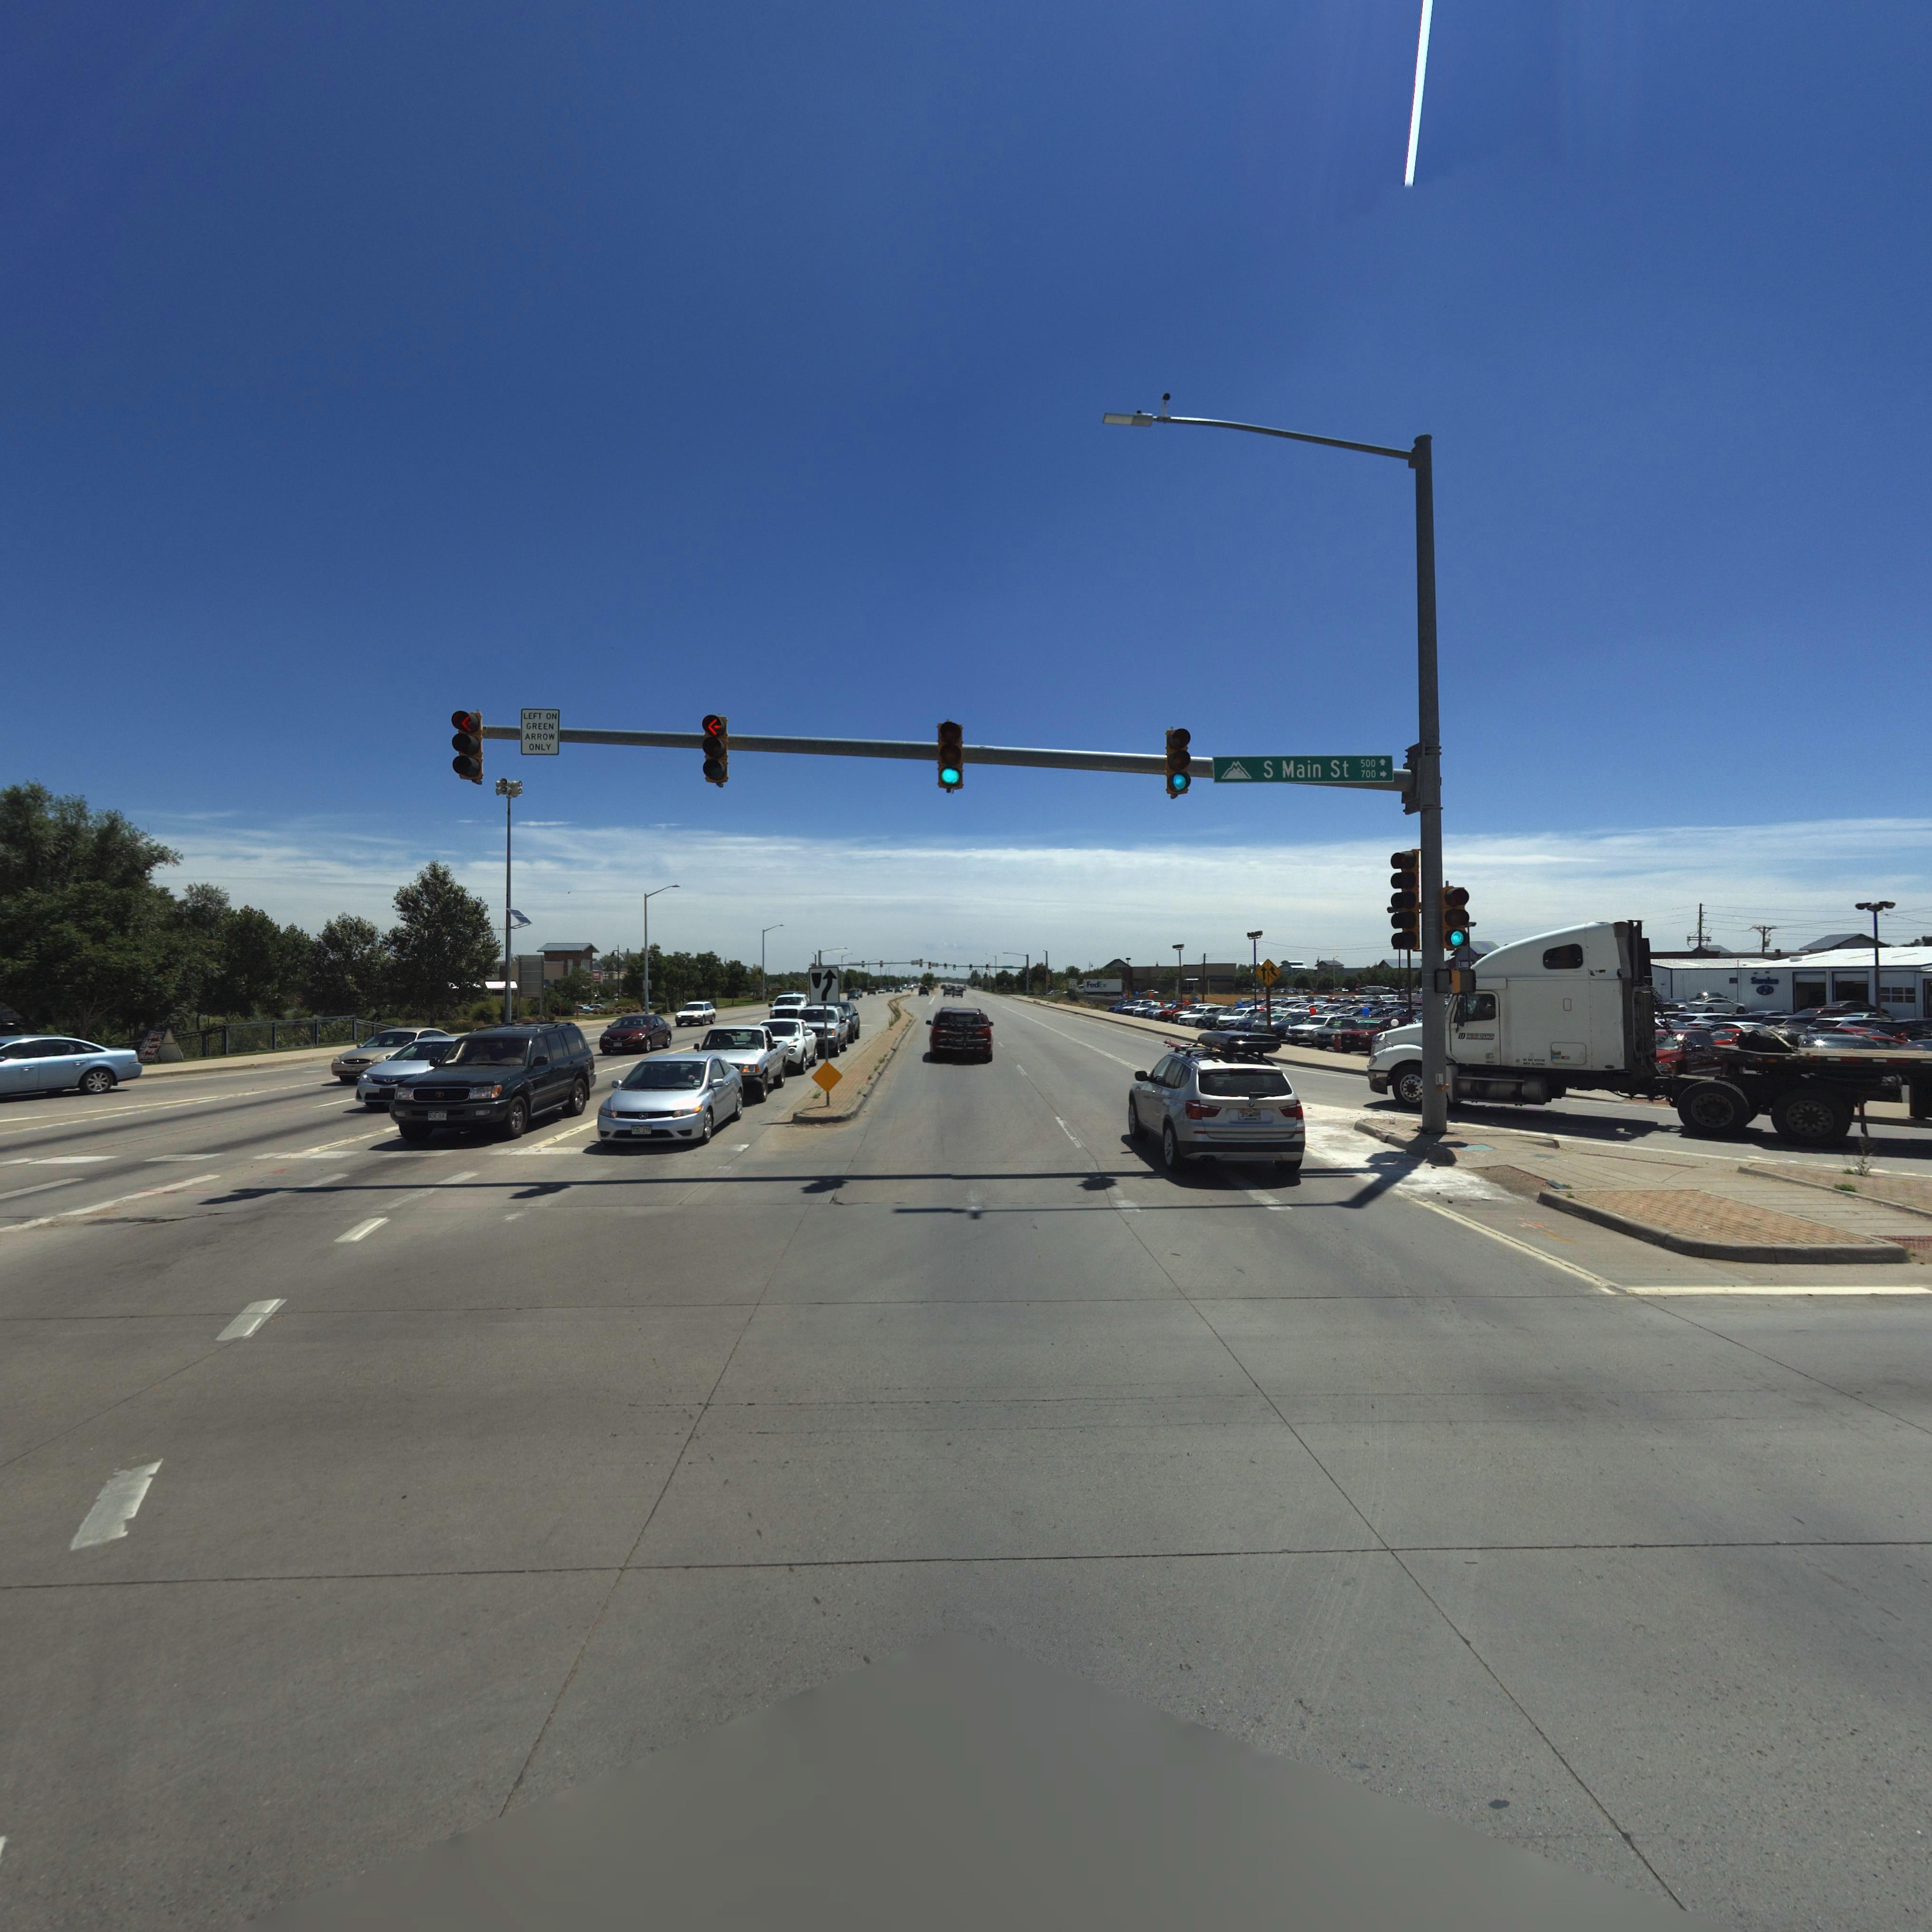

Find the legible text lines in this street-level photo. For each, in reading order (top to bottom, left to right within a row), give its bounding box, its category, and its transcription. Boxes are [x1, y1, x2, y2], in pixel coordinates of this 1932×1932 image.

[1360, 759, 1376, 767] StreetNumberRange: 500
[1263, 759, 1349, 778] StreetName: S Main St
[1361, 770, 1388, 778] StreetNumberRange: 700->